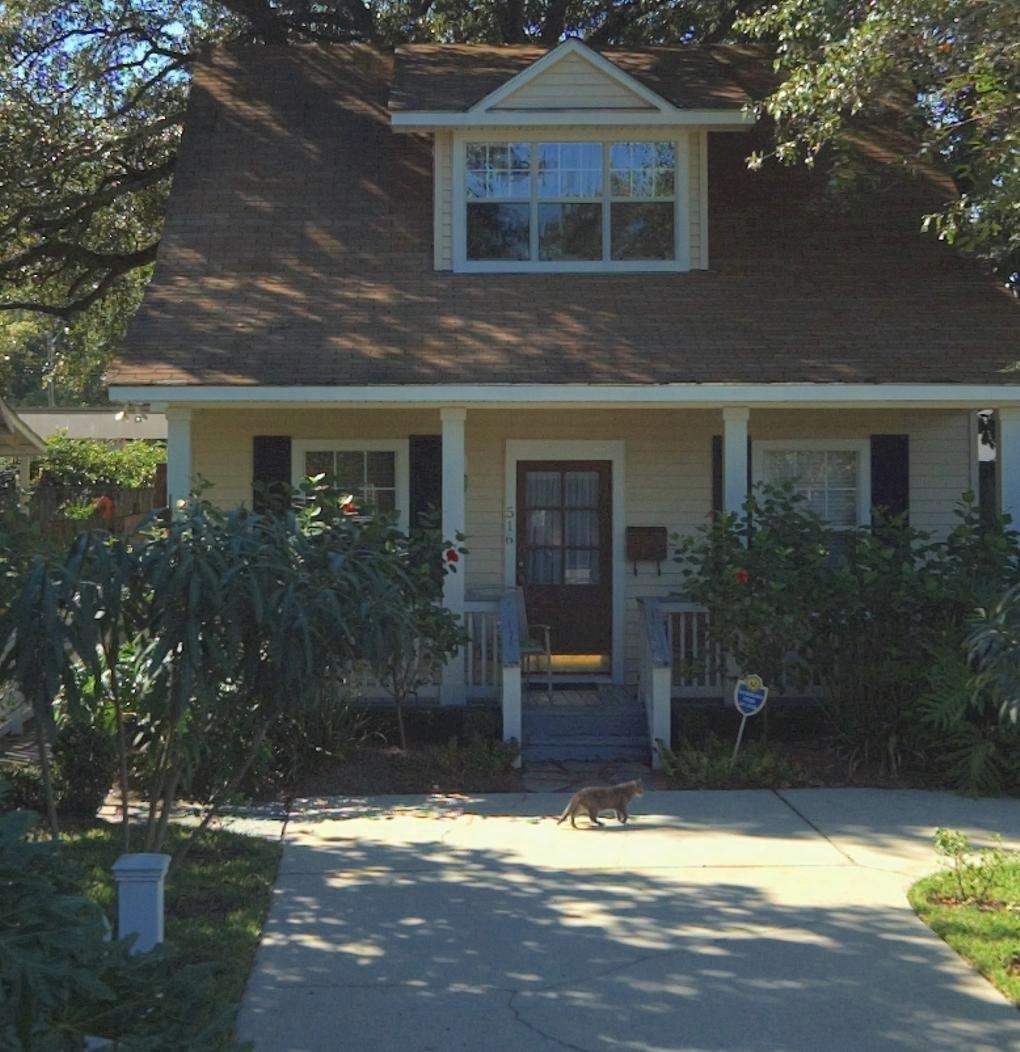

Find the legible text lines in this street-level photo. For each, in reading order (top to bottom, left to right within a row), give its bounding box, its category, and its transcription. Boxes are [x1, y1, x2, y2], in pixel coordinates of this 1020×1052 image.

[505, 505, 516, 546] StreetNumber: 516